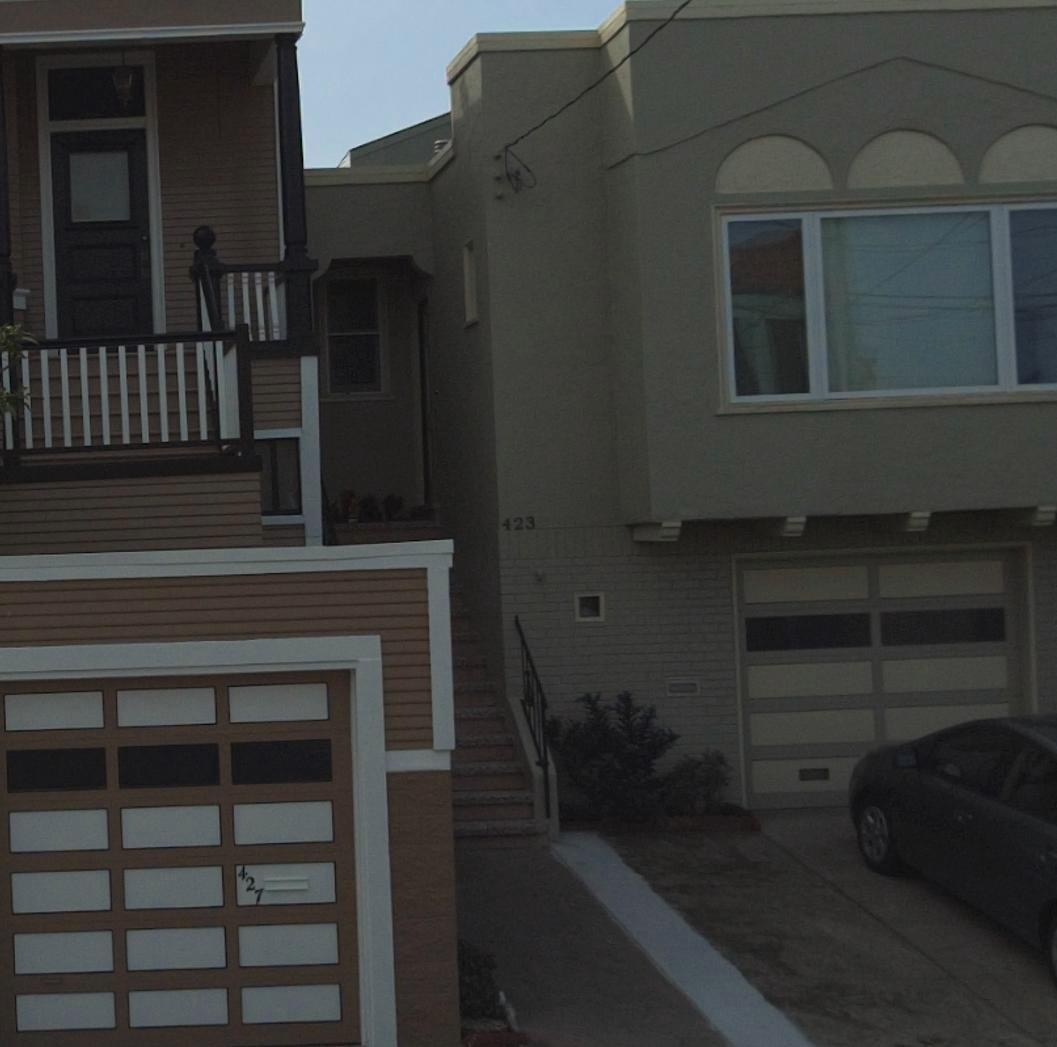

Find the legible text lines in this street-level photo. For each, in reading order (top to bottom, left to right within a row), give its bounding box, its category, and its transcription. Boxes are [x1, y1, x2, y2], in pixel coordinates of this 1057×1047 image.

[501, 515, 537, 531] StreetNumber: 423
[235, 862, 265, 907] StreetNumber: 427